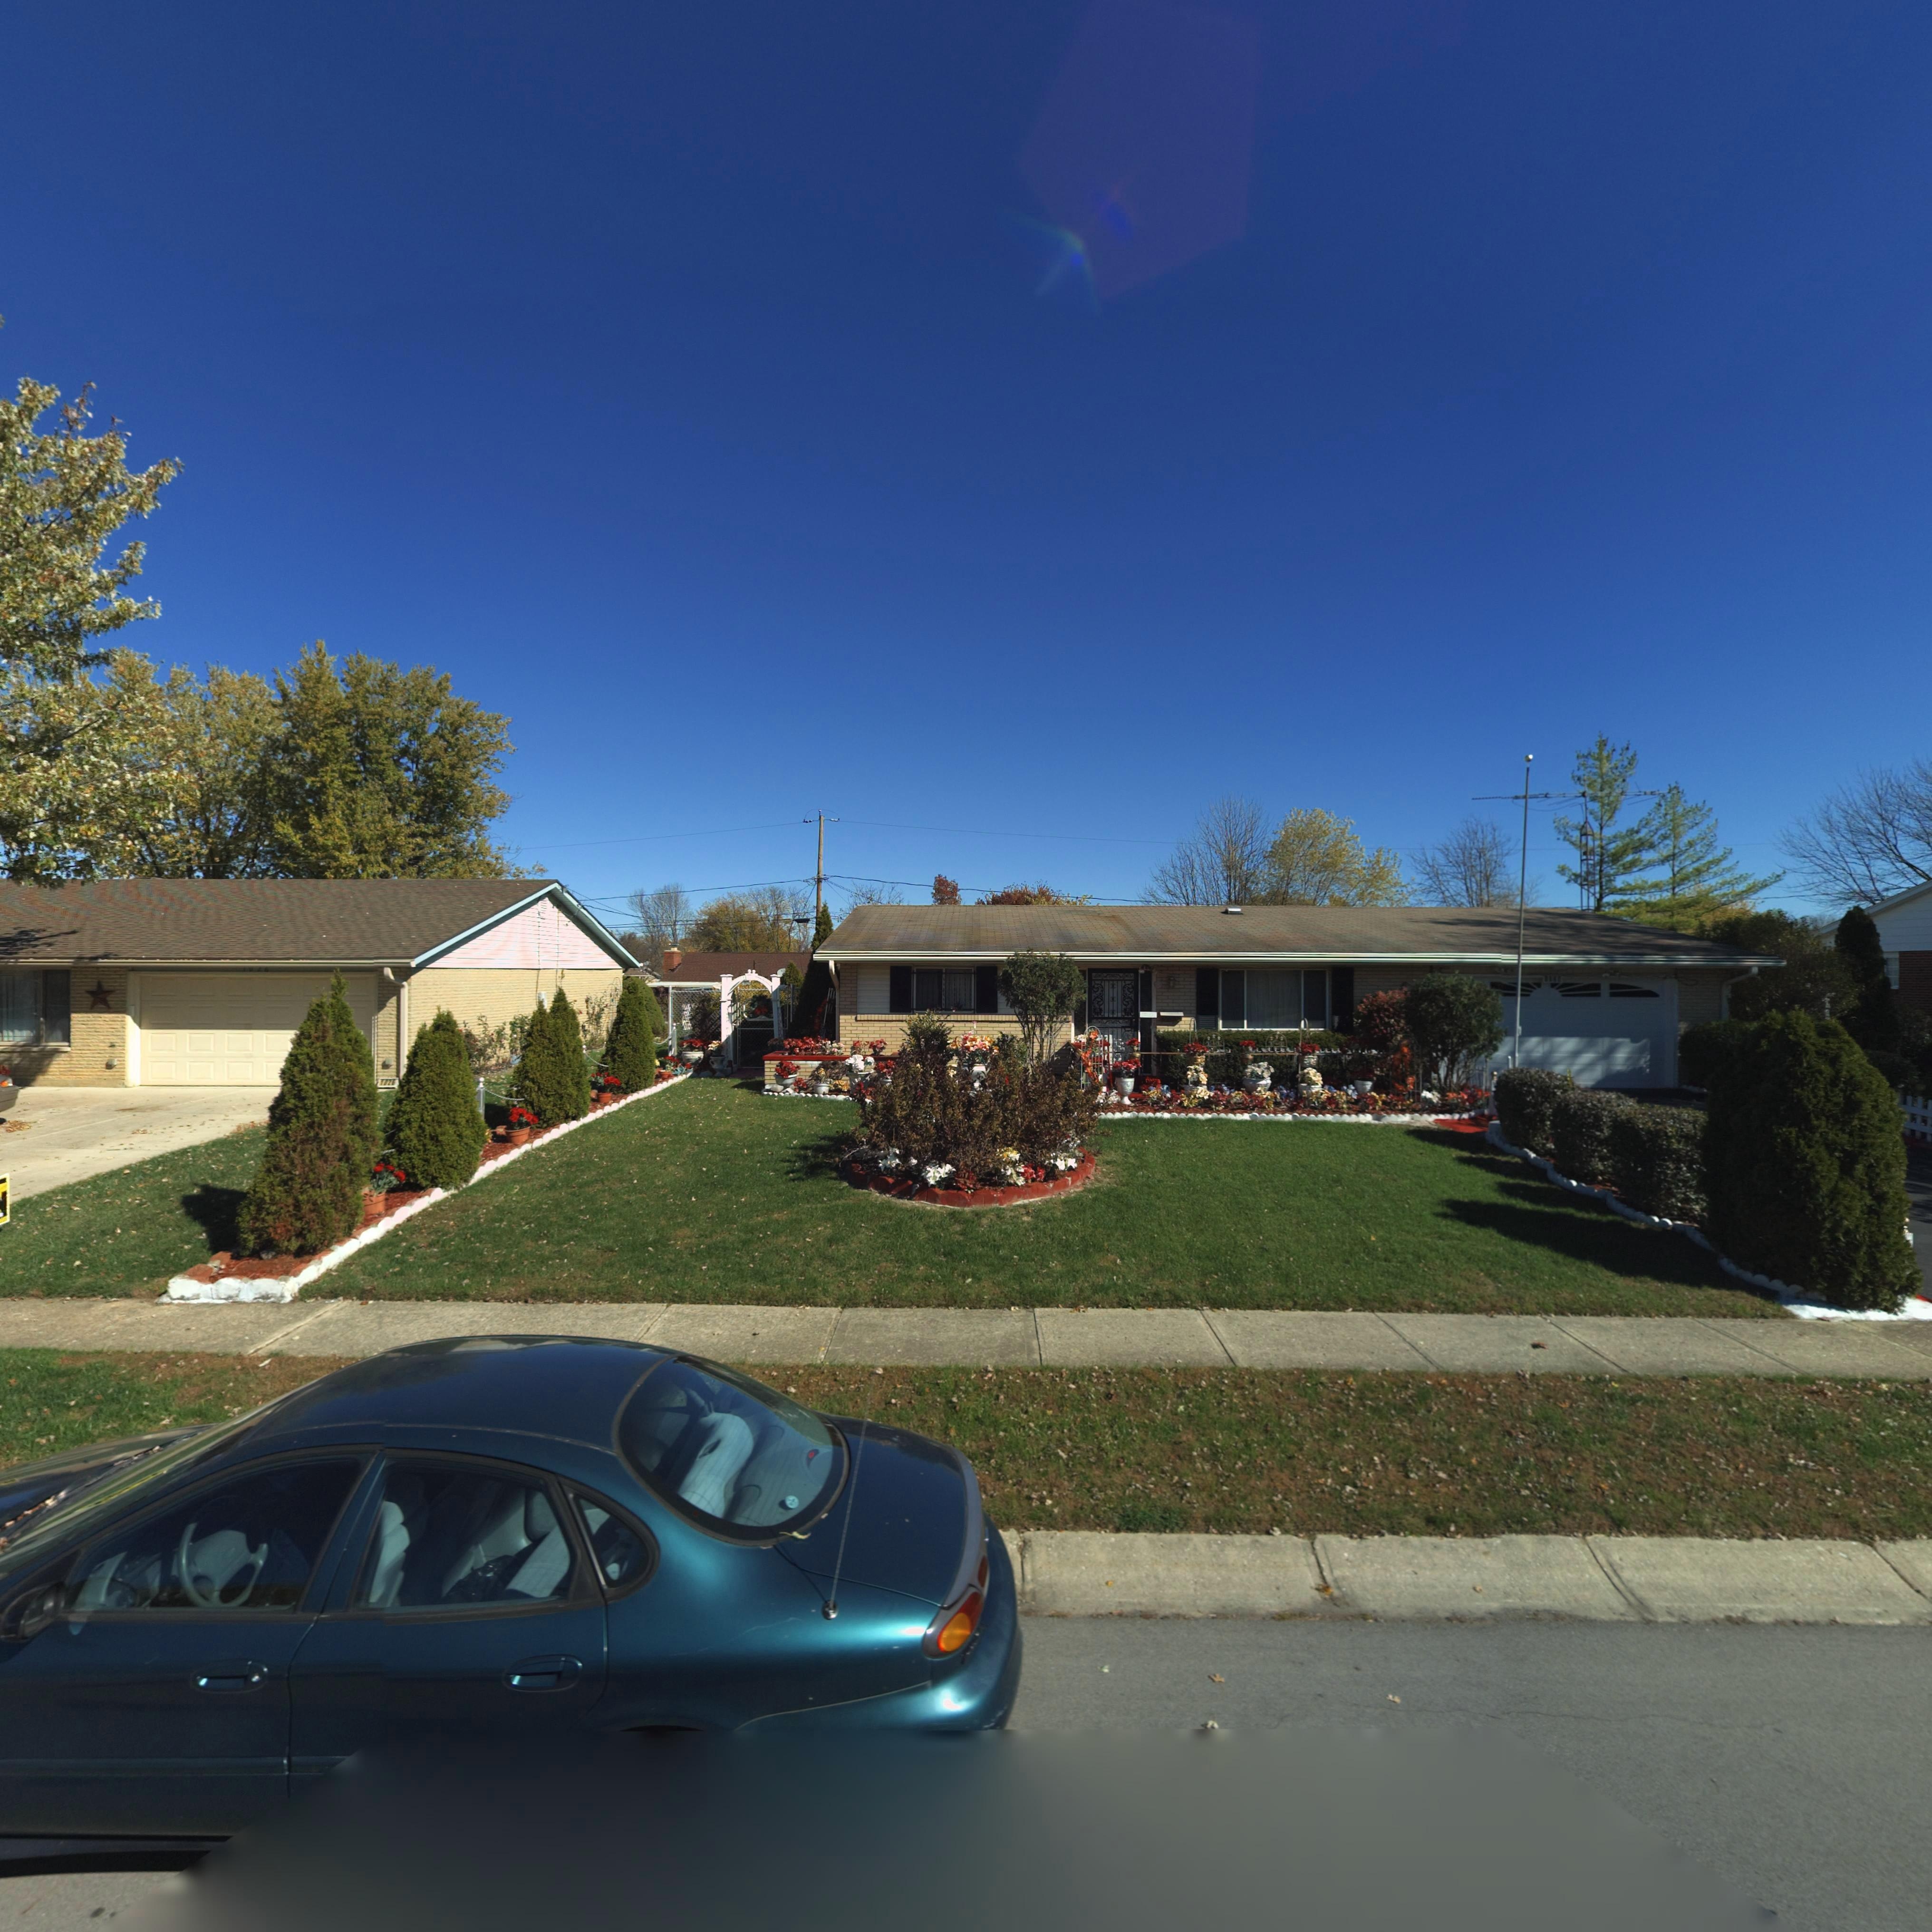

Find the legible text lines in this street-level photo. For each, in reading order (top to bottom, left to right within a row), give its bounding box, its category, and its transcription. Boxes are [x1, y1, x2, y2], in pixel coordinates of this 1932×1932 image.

[379, 1078, 396, 1086] StreetNumber: 1*2*